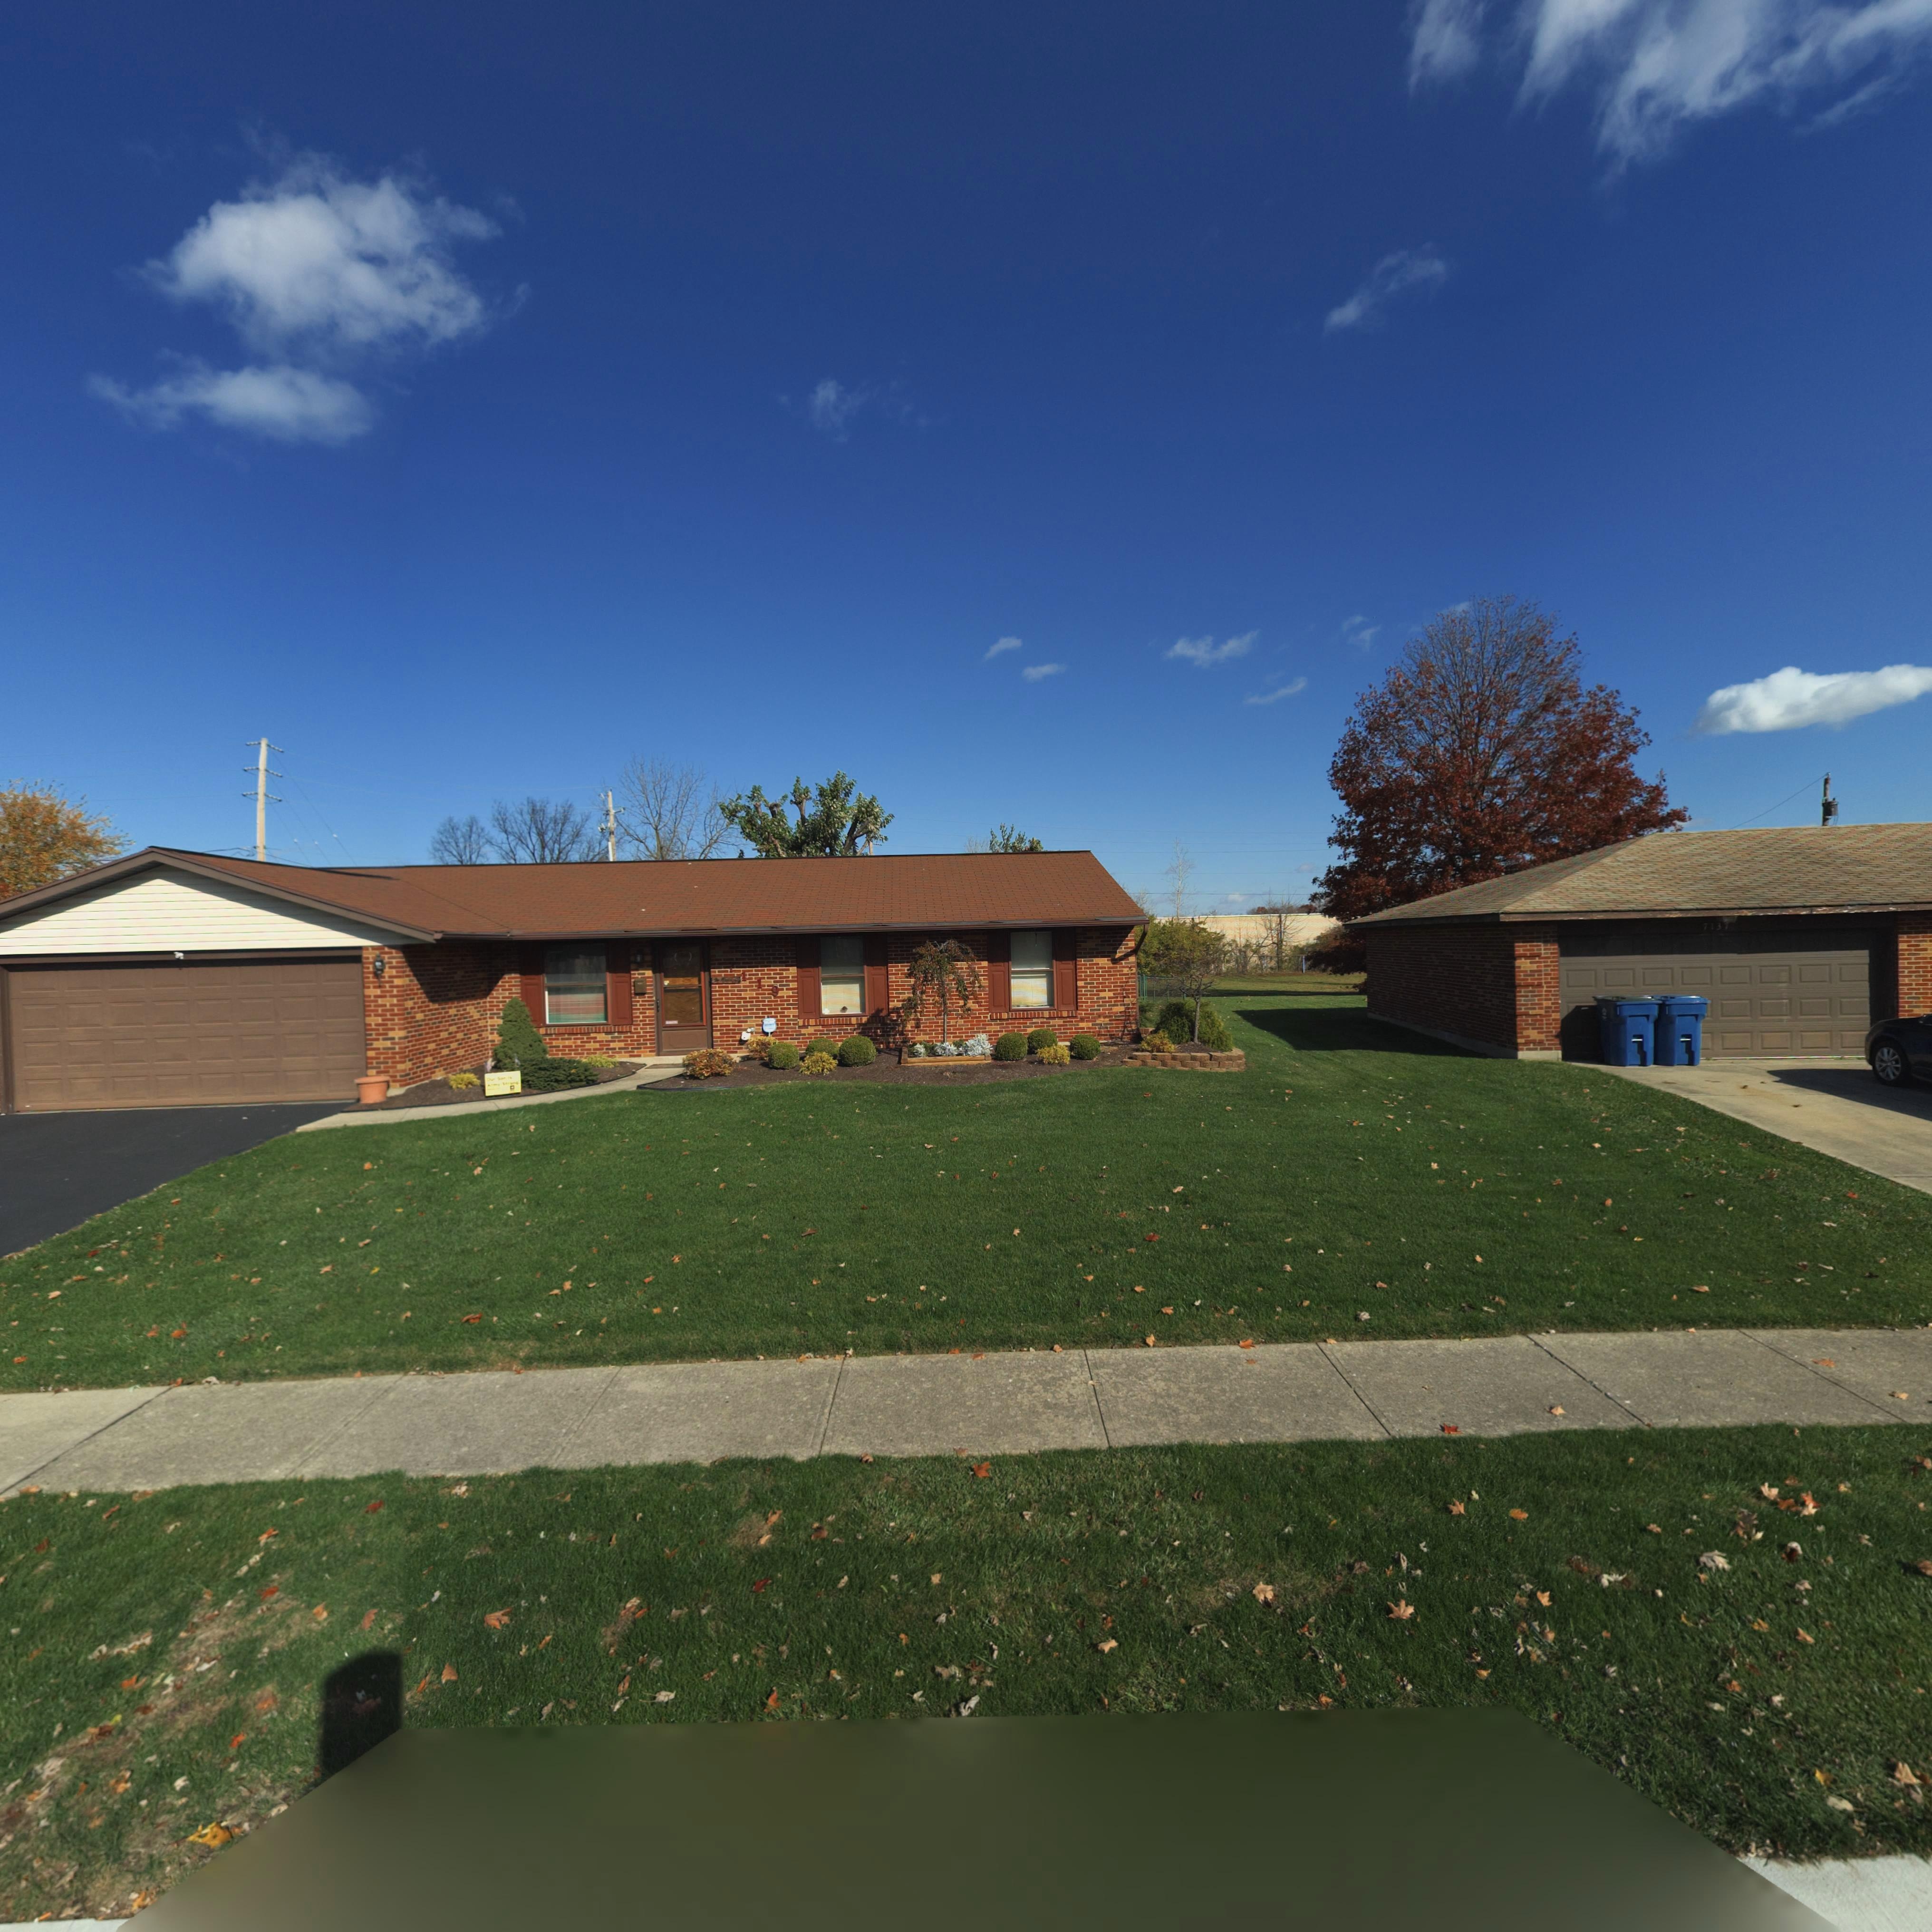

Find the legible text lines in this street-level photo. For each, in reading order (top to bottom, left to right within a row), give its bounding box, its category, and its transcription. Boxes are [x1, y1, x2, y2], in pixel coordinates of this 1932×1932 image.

[1702, 921, 1730, 932] StreetNumber: 713*
[727, 961, 780, 998] StreetNumber: 7119